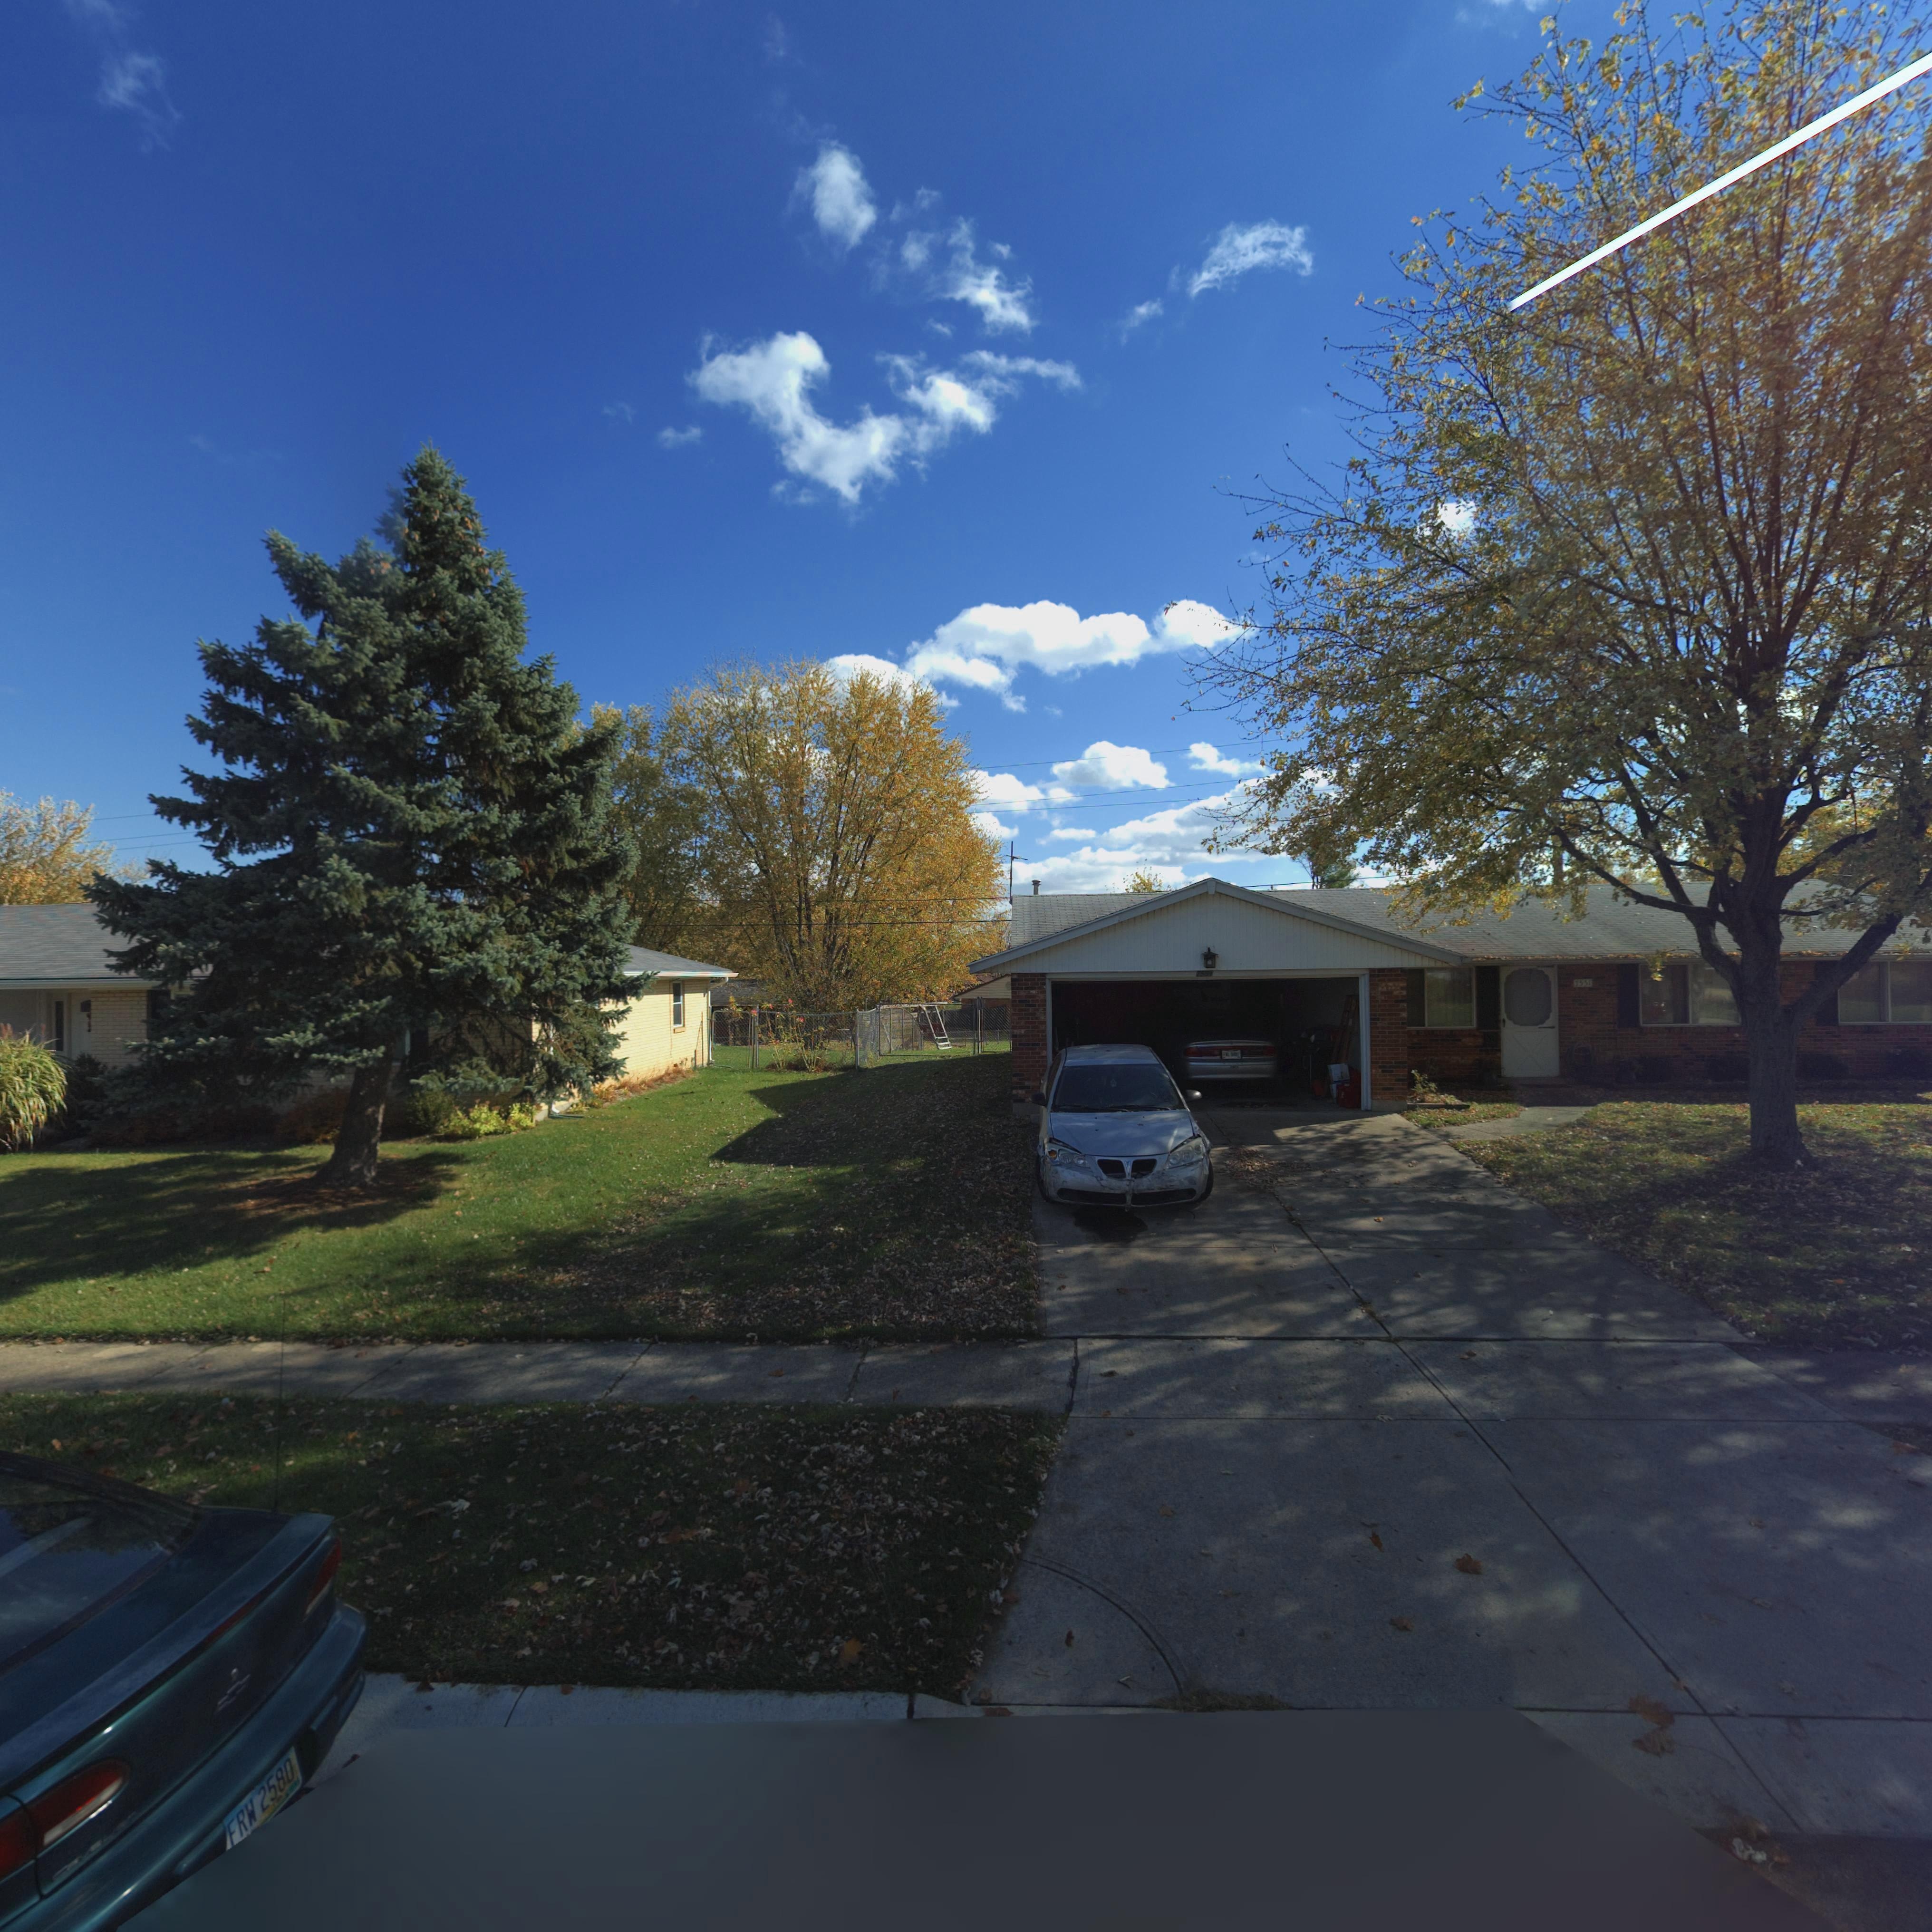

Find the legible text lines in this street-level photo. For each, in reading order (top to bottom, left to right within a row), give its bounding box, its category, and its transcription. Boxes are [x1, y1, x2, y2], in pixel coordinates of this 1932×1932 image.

[1573, 978, 1592, 988] StreetNumber: 7551